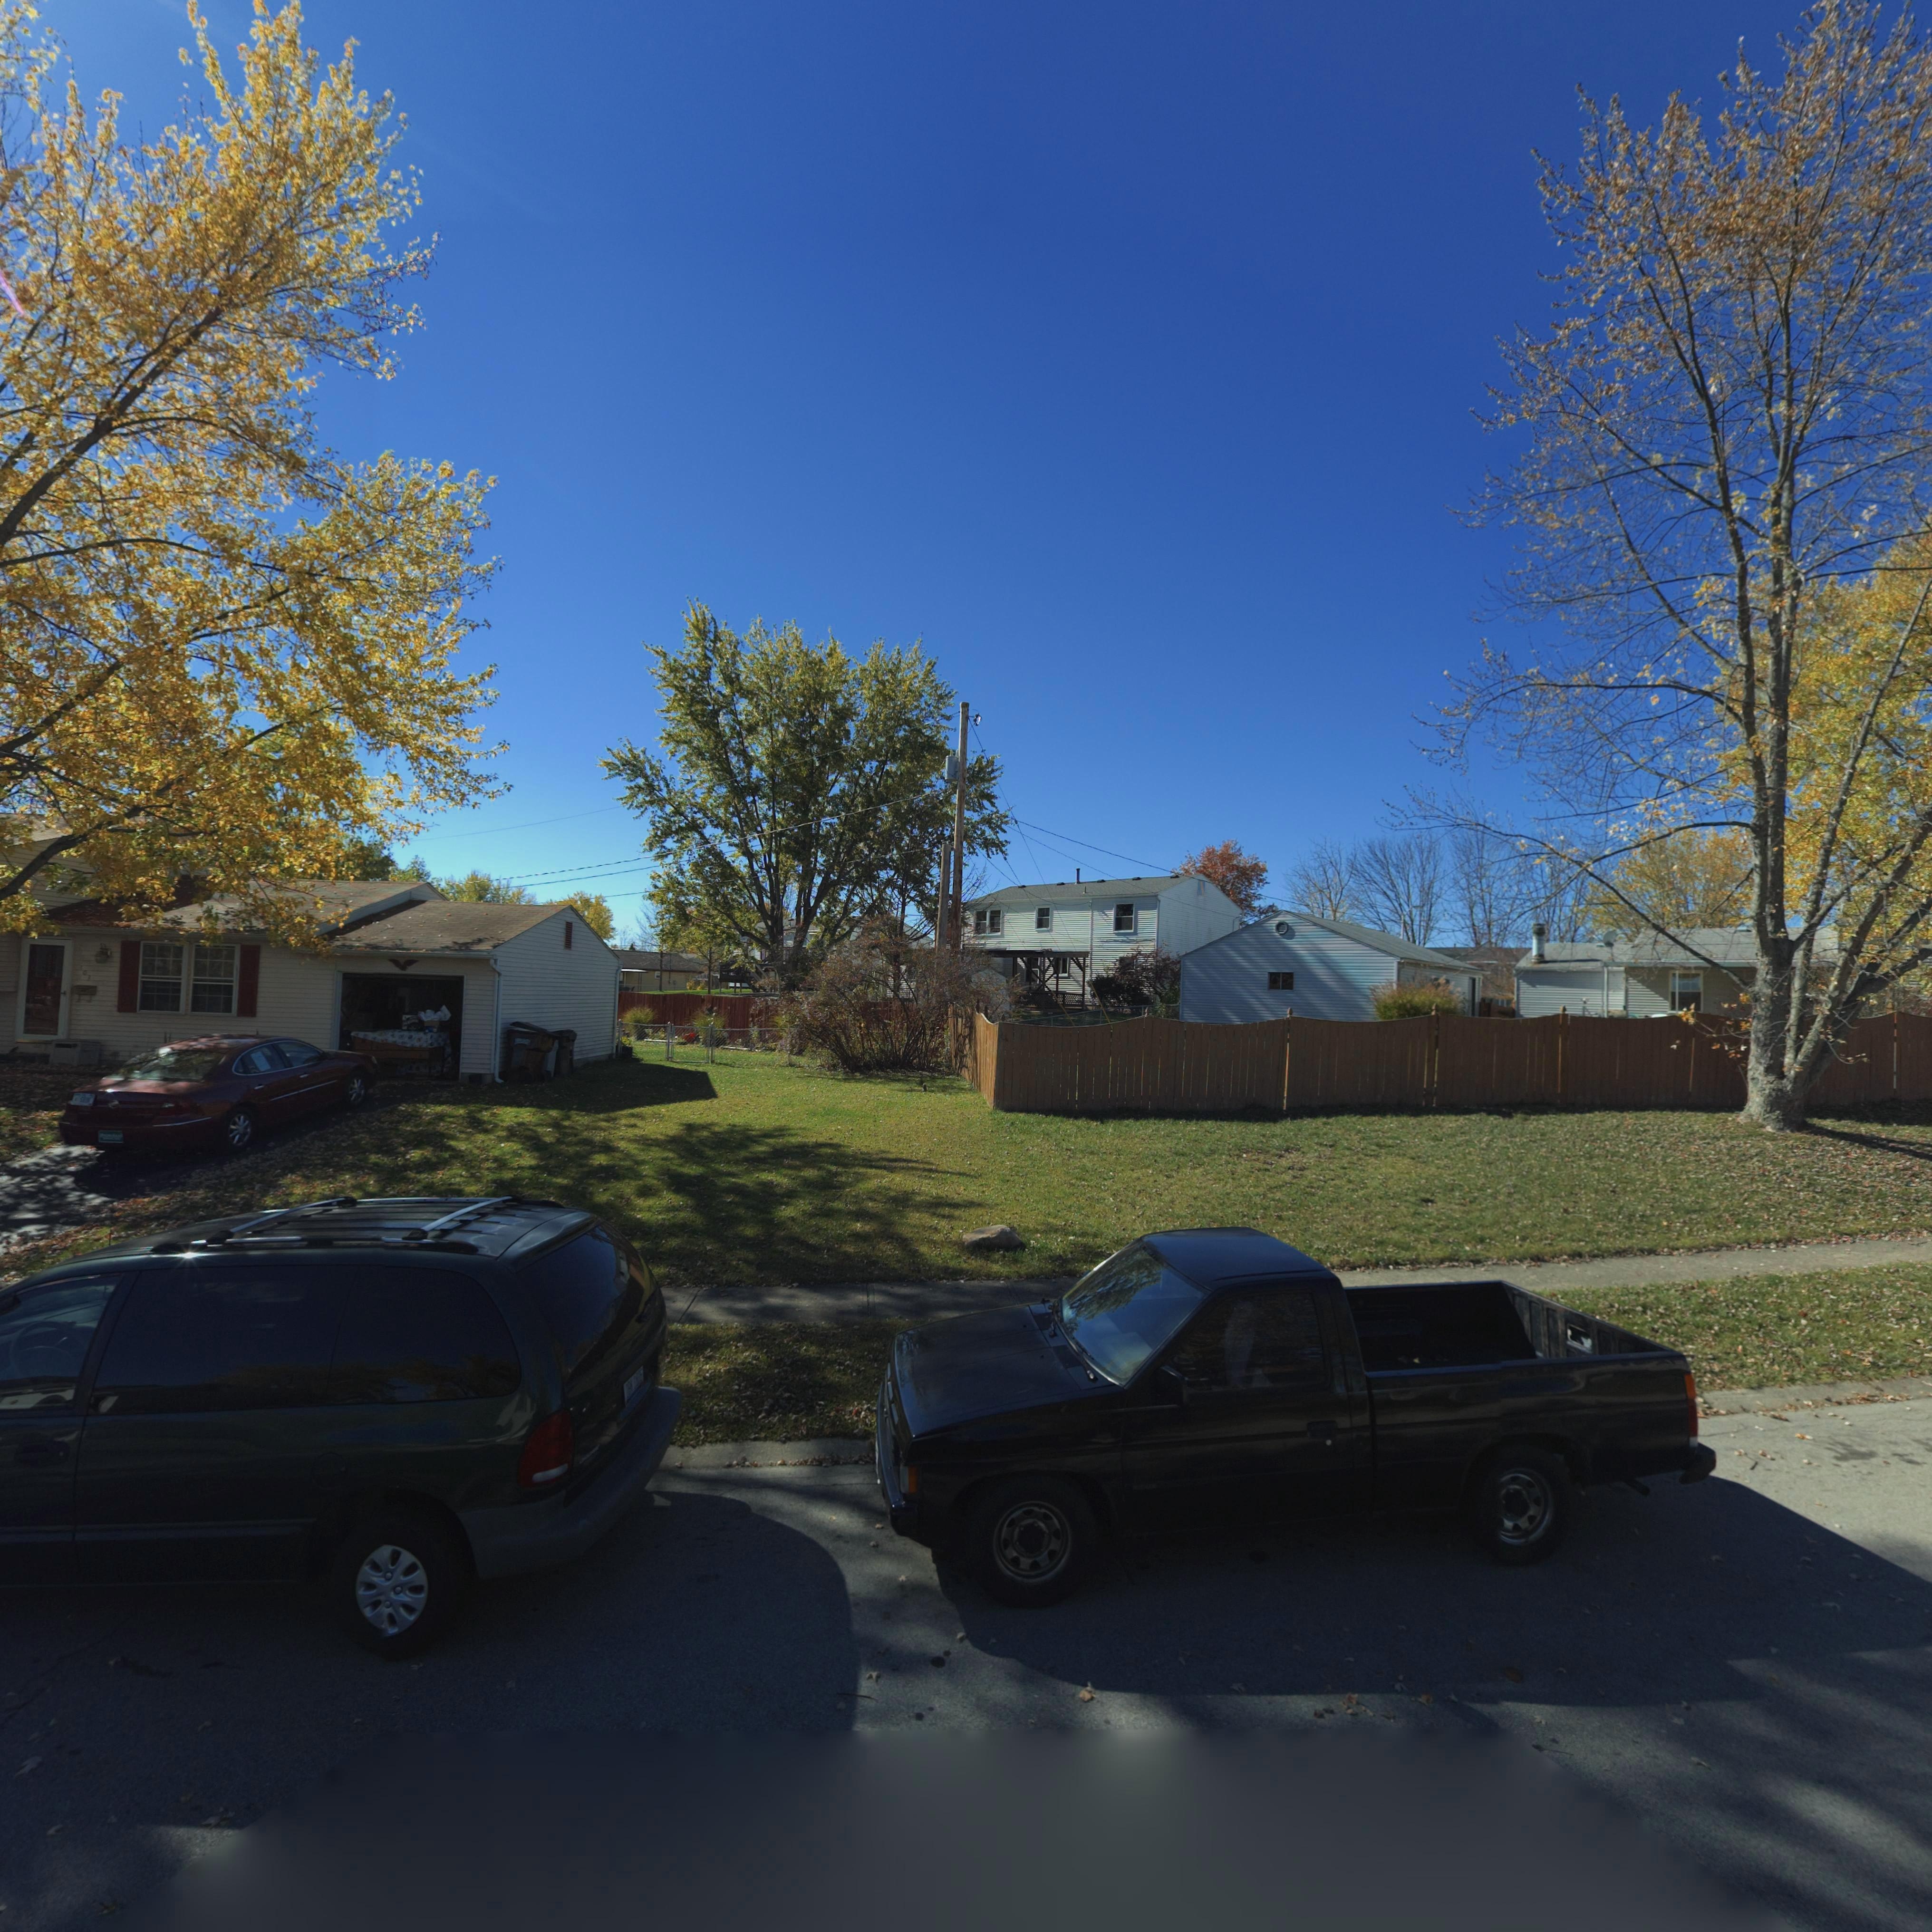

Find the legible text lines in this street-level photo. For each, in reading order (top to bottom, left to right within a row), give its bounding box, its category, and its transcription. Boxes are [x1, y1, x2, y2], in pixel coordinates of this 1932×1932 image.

[78, 963, 92, 982] StreetNumber: 103